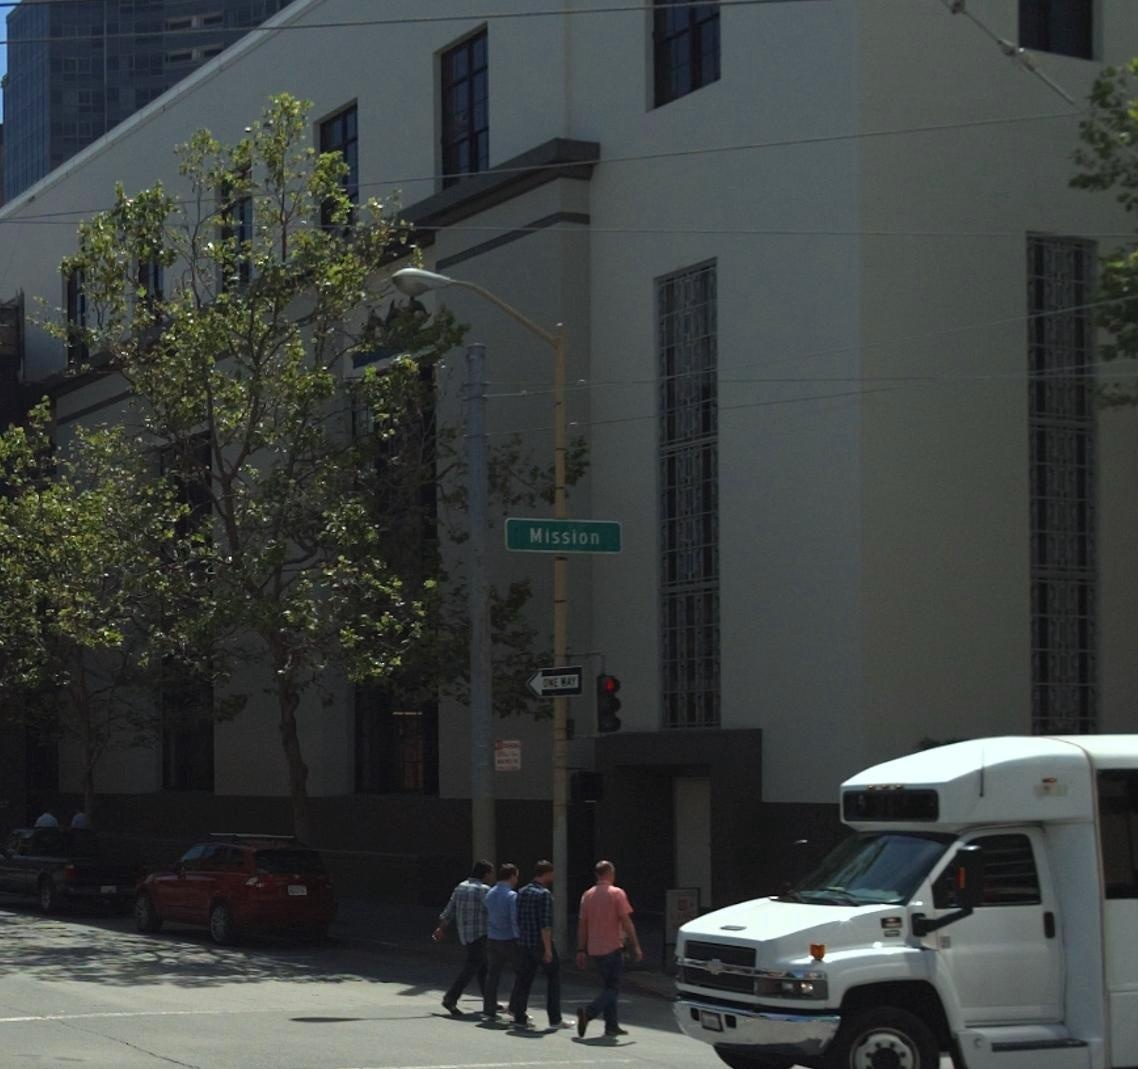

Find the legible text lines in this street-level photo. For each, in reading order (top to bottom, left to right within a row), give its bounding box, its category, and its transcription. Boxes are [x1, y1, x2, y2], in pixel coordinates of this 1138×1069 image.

[528, 526, 601, 546] StreetName: Mission
[541, 676, 576, 689] None: ONE WAY